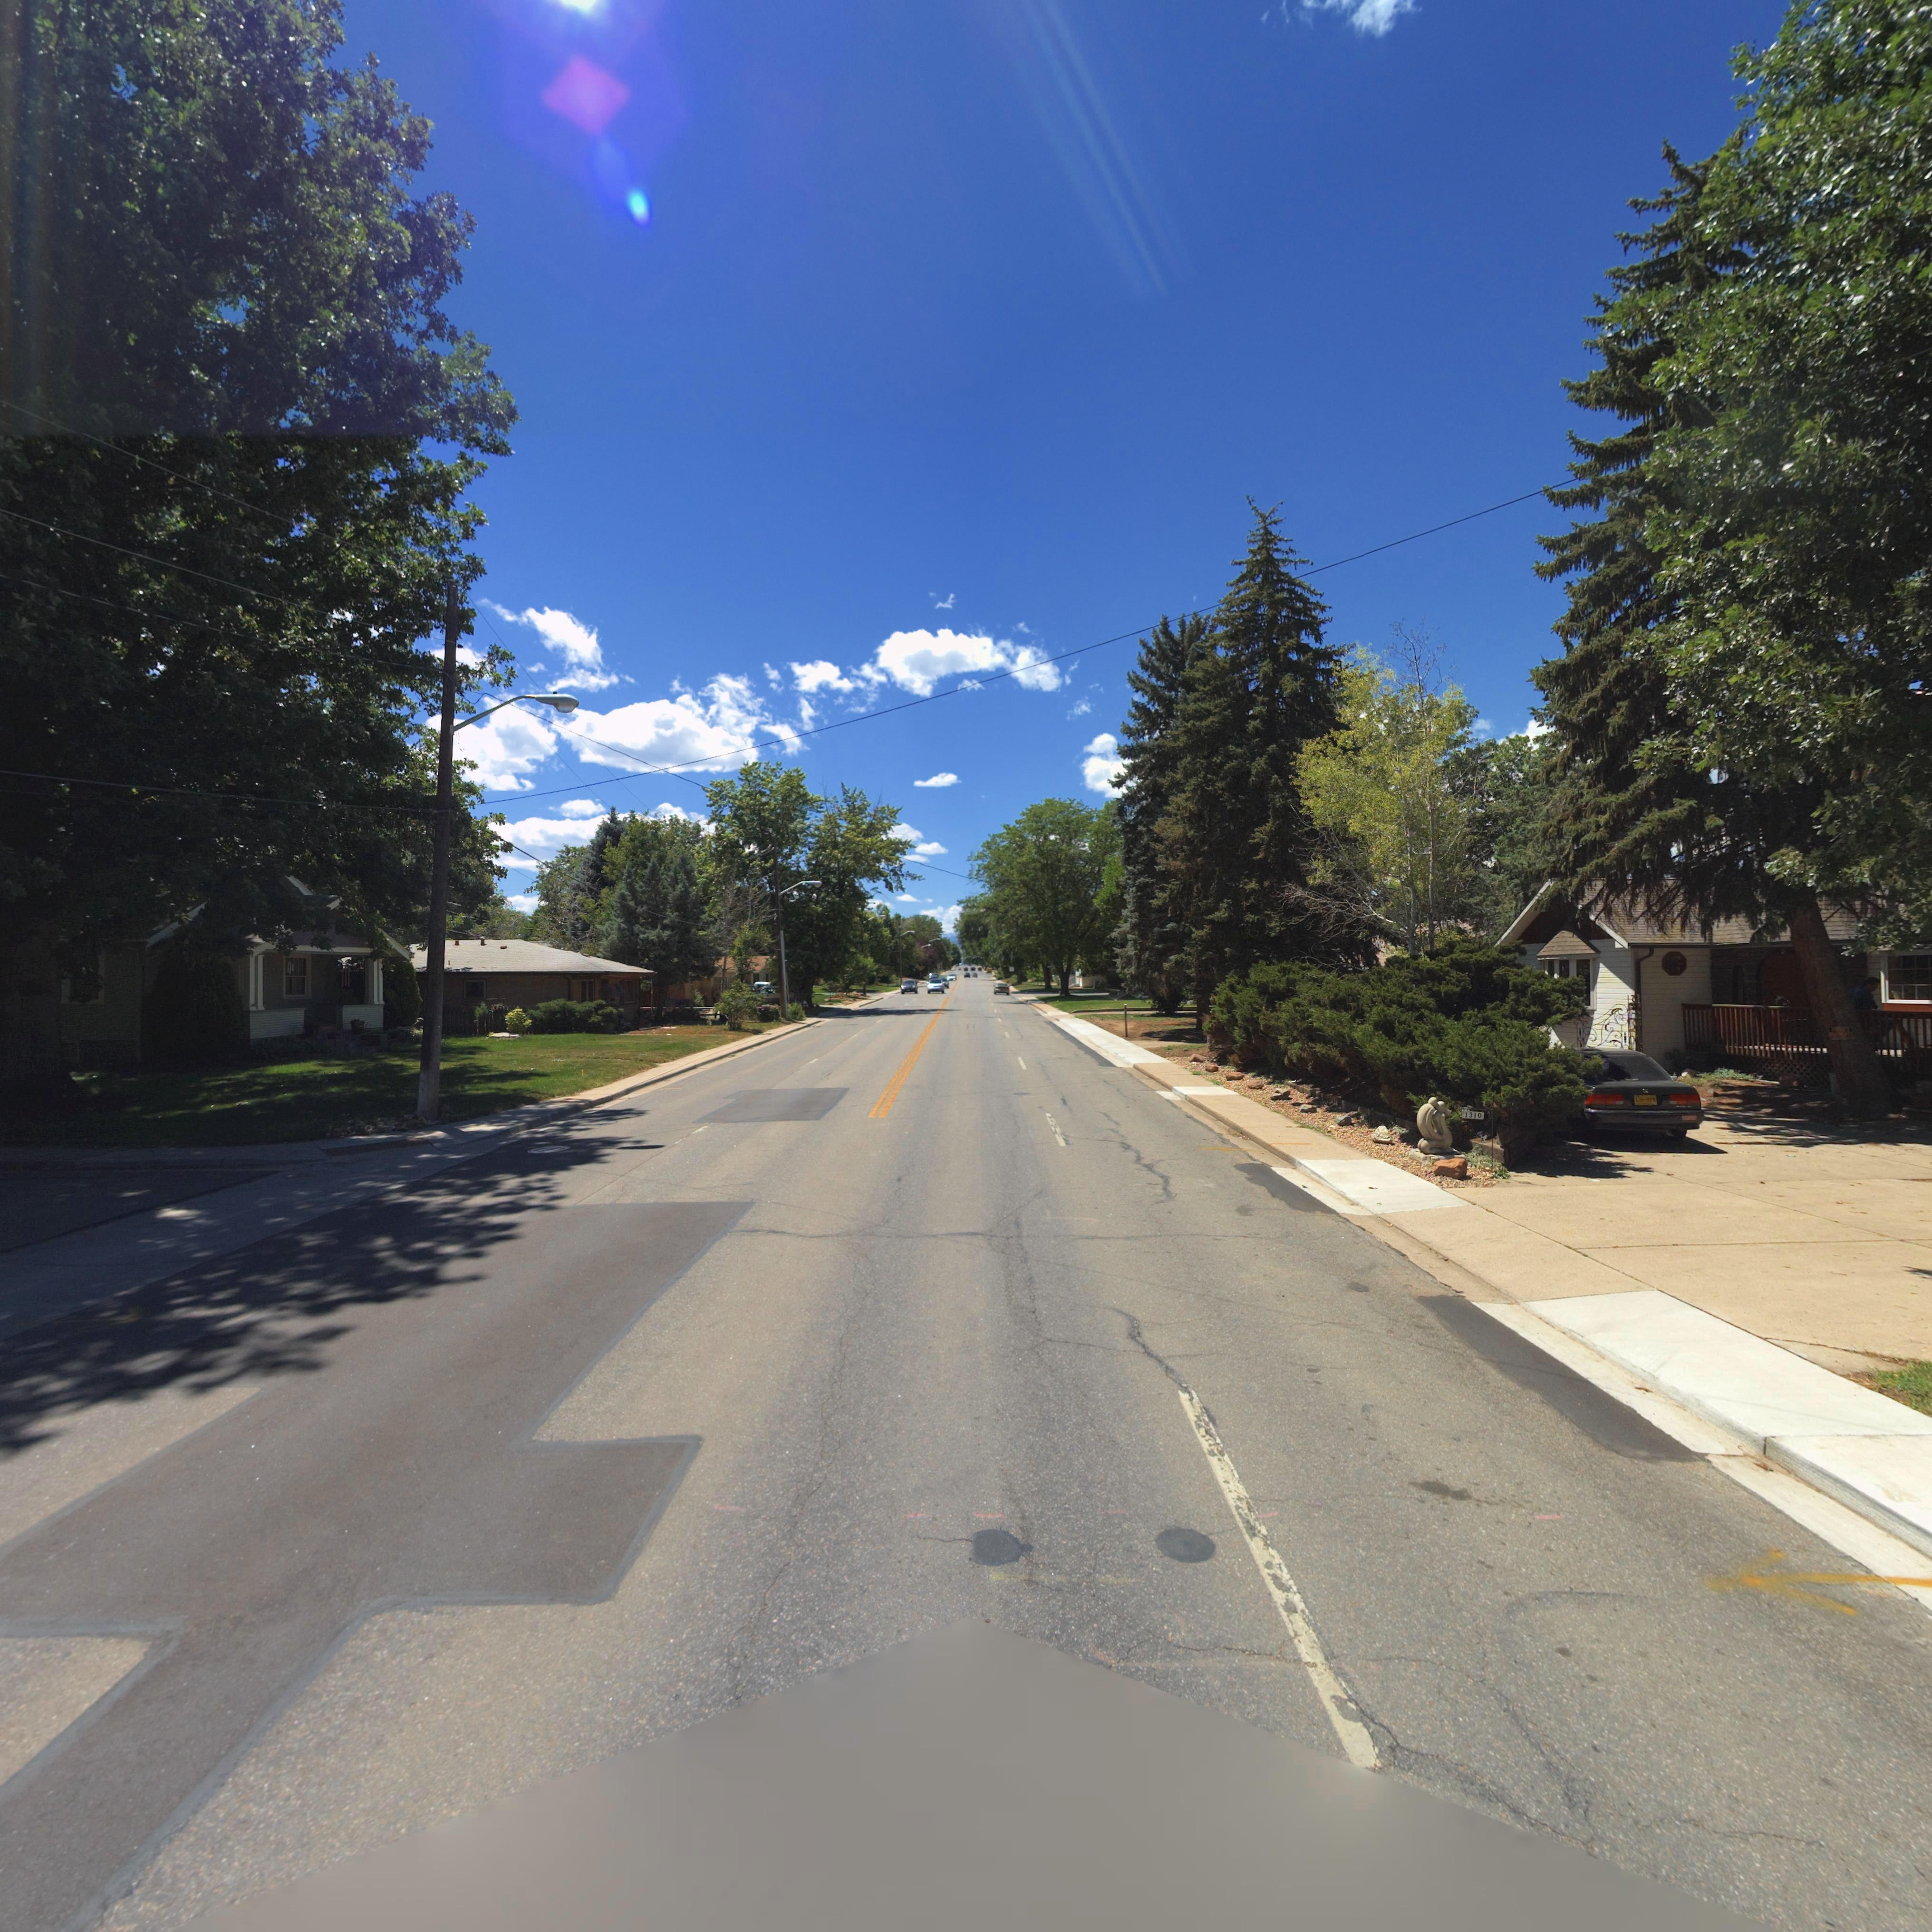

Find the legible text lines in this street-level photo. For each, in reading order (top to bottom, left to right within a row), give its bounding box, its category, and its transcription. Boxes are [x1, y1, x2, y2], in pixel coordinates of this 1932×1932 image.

[1465, 1111, 1481, 1118] StreetNumber: 1310